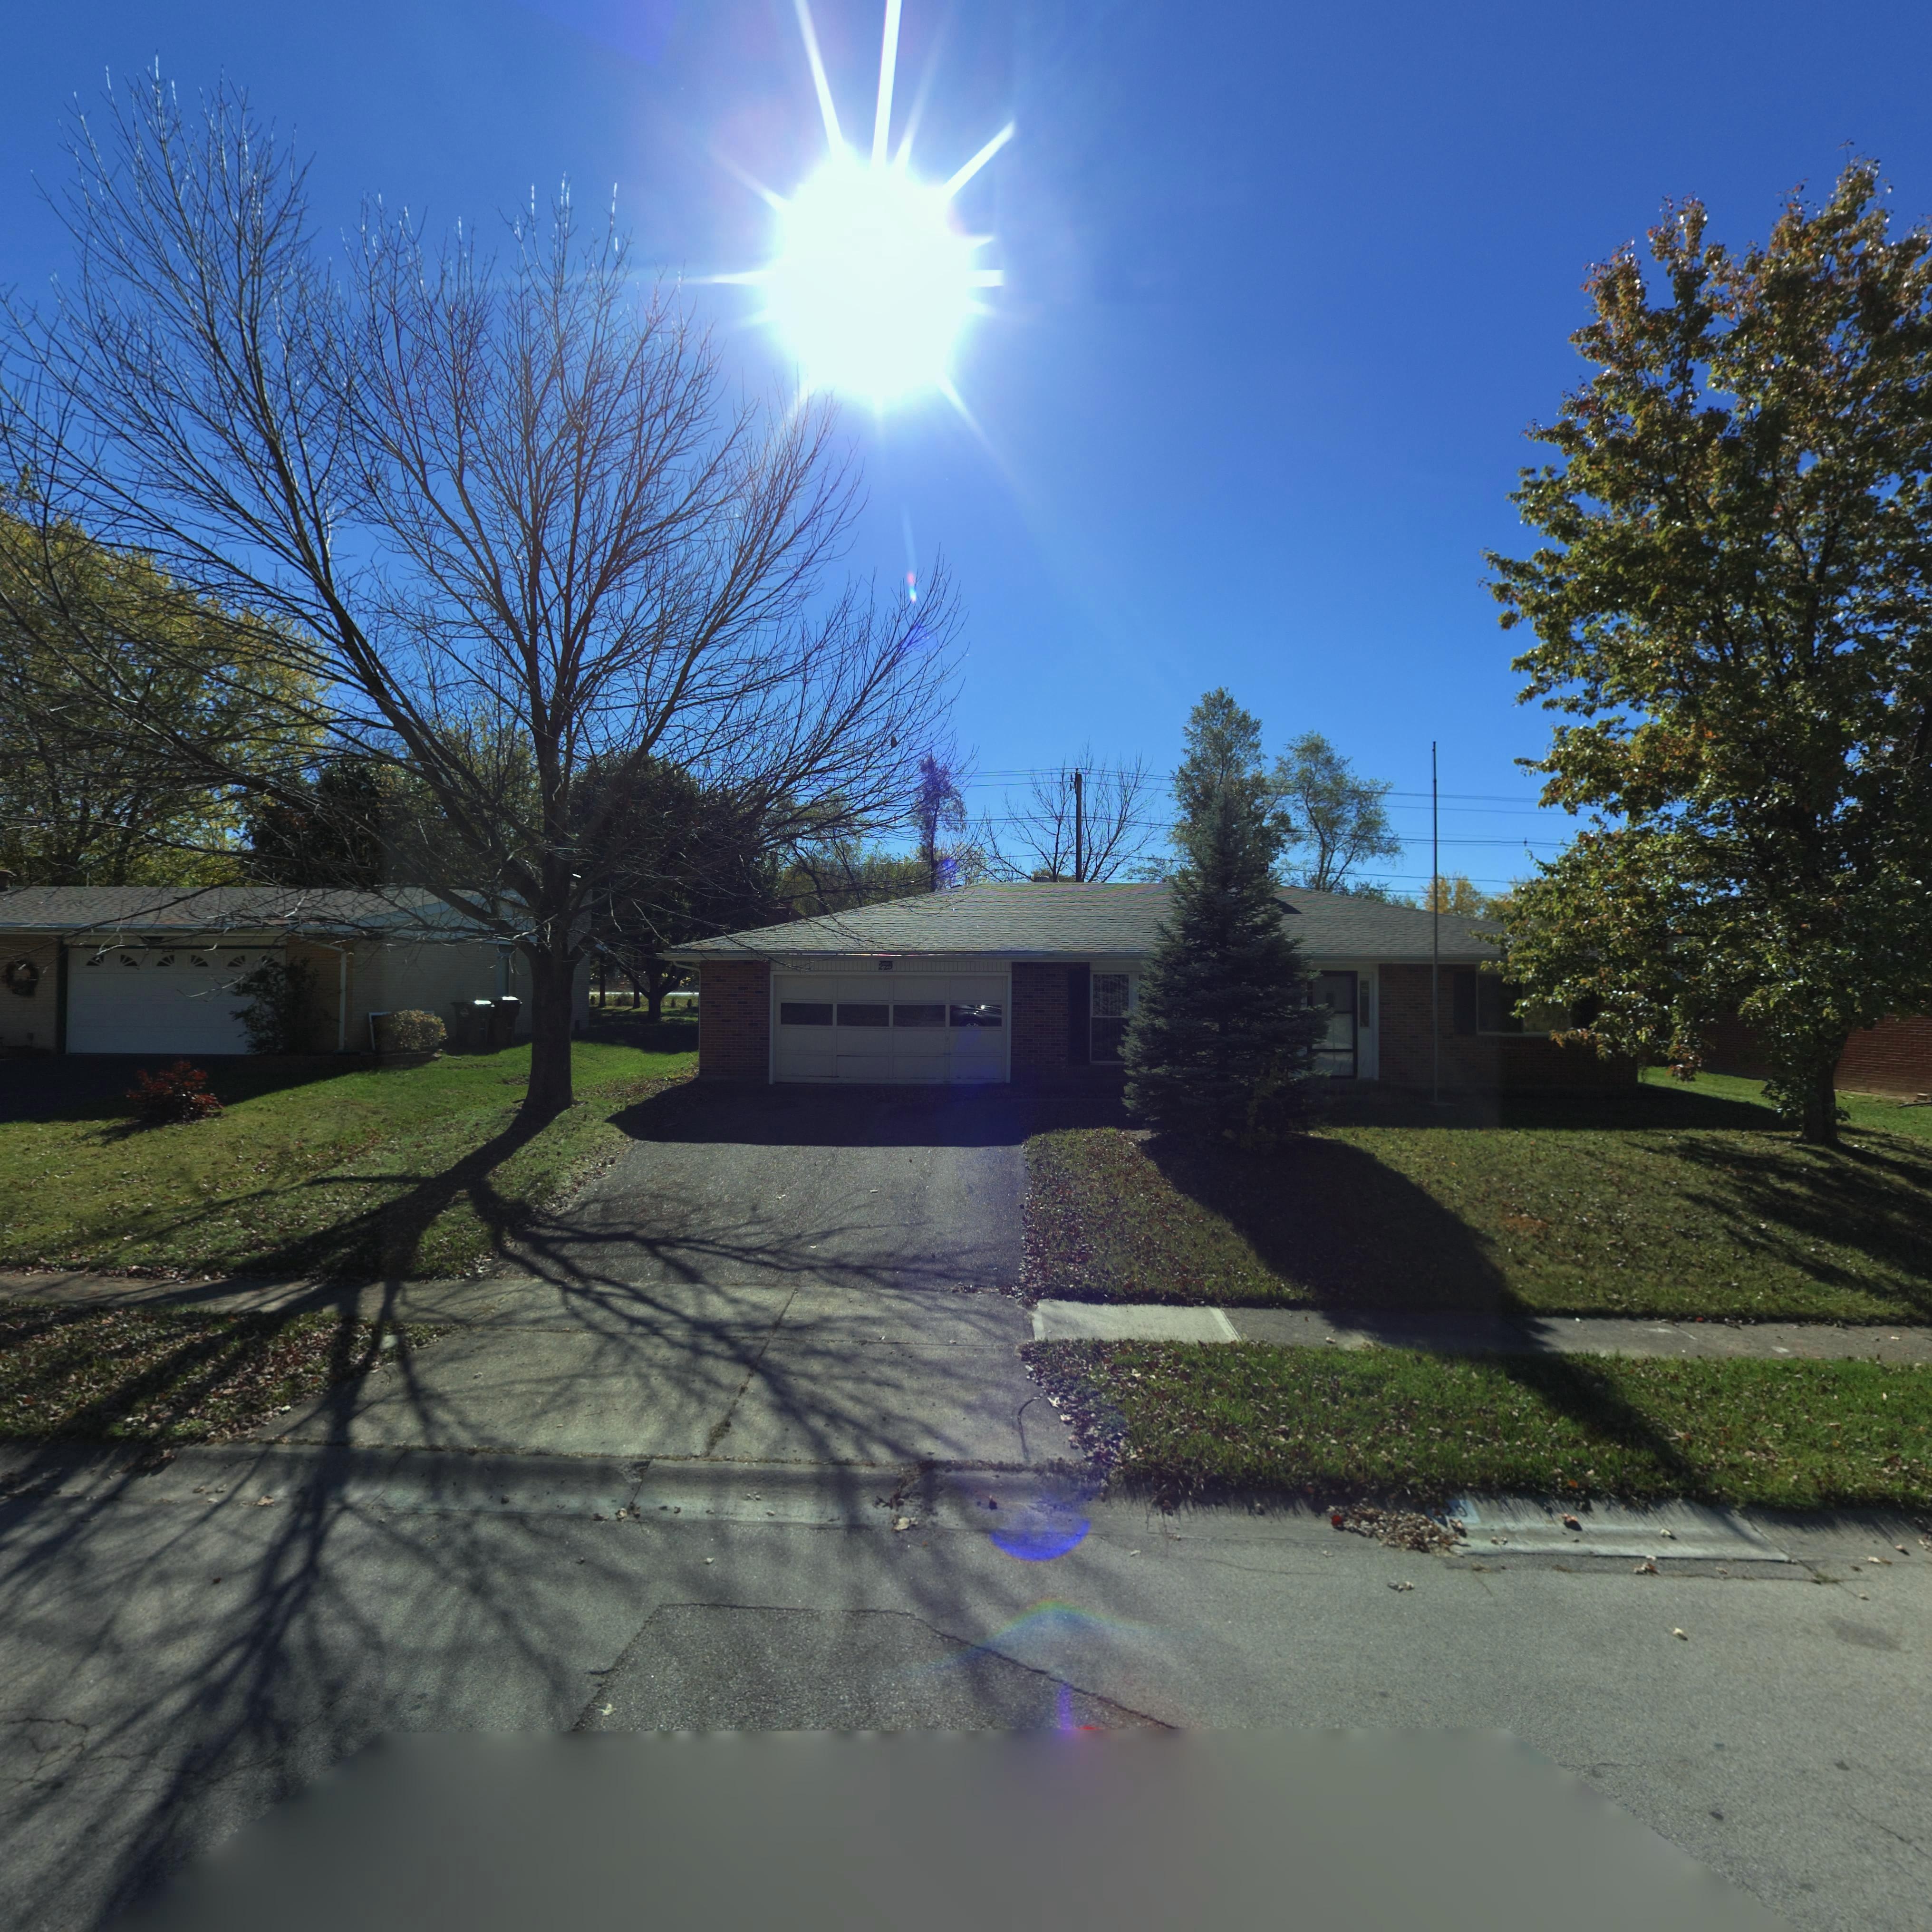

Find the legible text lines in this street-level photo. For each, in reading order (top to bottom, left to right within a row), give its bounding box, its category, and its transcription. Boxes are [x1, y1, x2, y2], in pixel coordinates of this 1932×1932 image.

[878, 963, 893, 970] StreetNumber: 2**
[1453, 1504, 1468, 1518] StreetNumber: 9